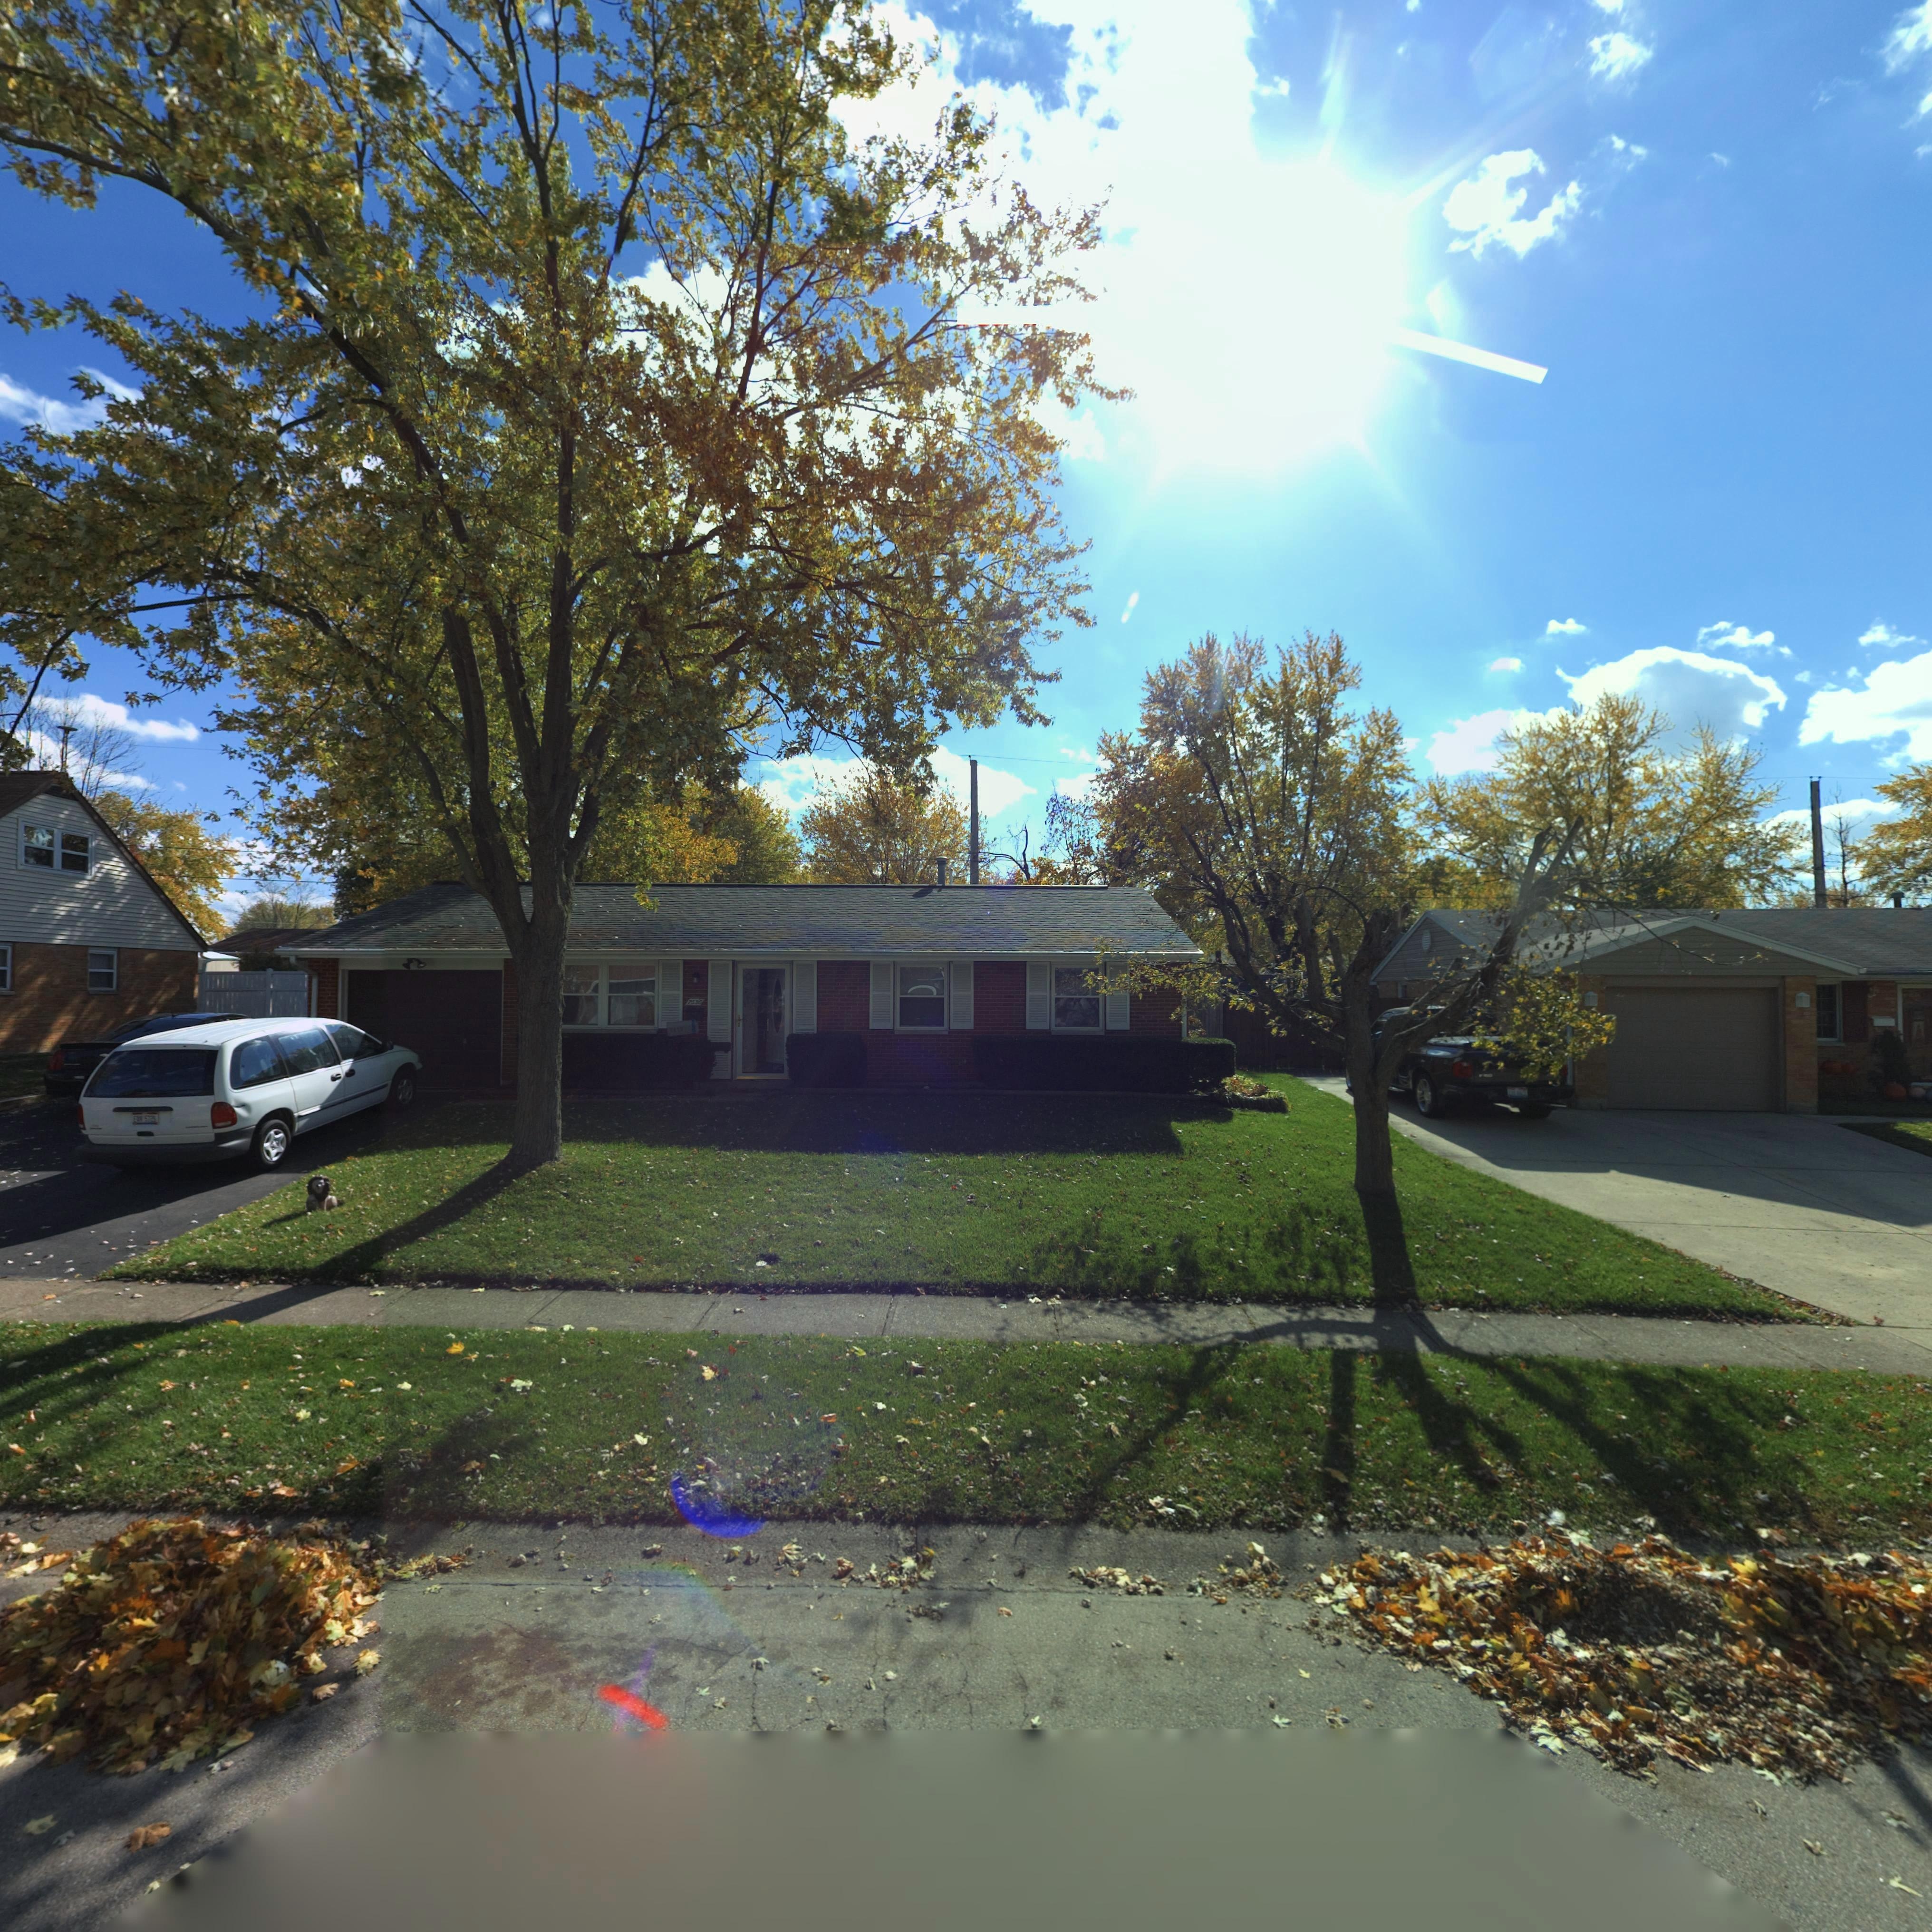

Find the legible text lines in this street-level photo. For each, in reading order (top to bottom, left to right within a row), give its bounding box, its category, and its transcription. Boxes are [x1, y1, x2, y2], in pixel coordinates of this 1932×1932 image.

[687, 999, 704, 1005] StreetNumber: 7630